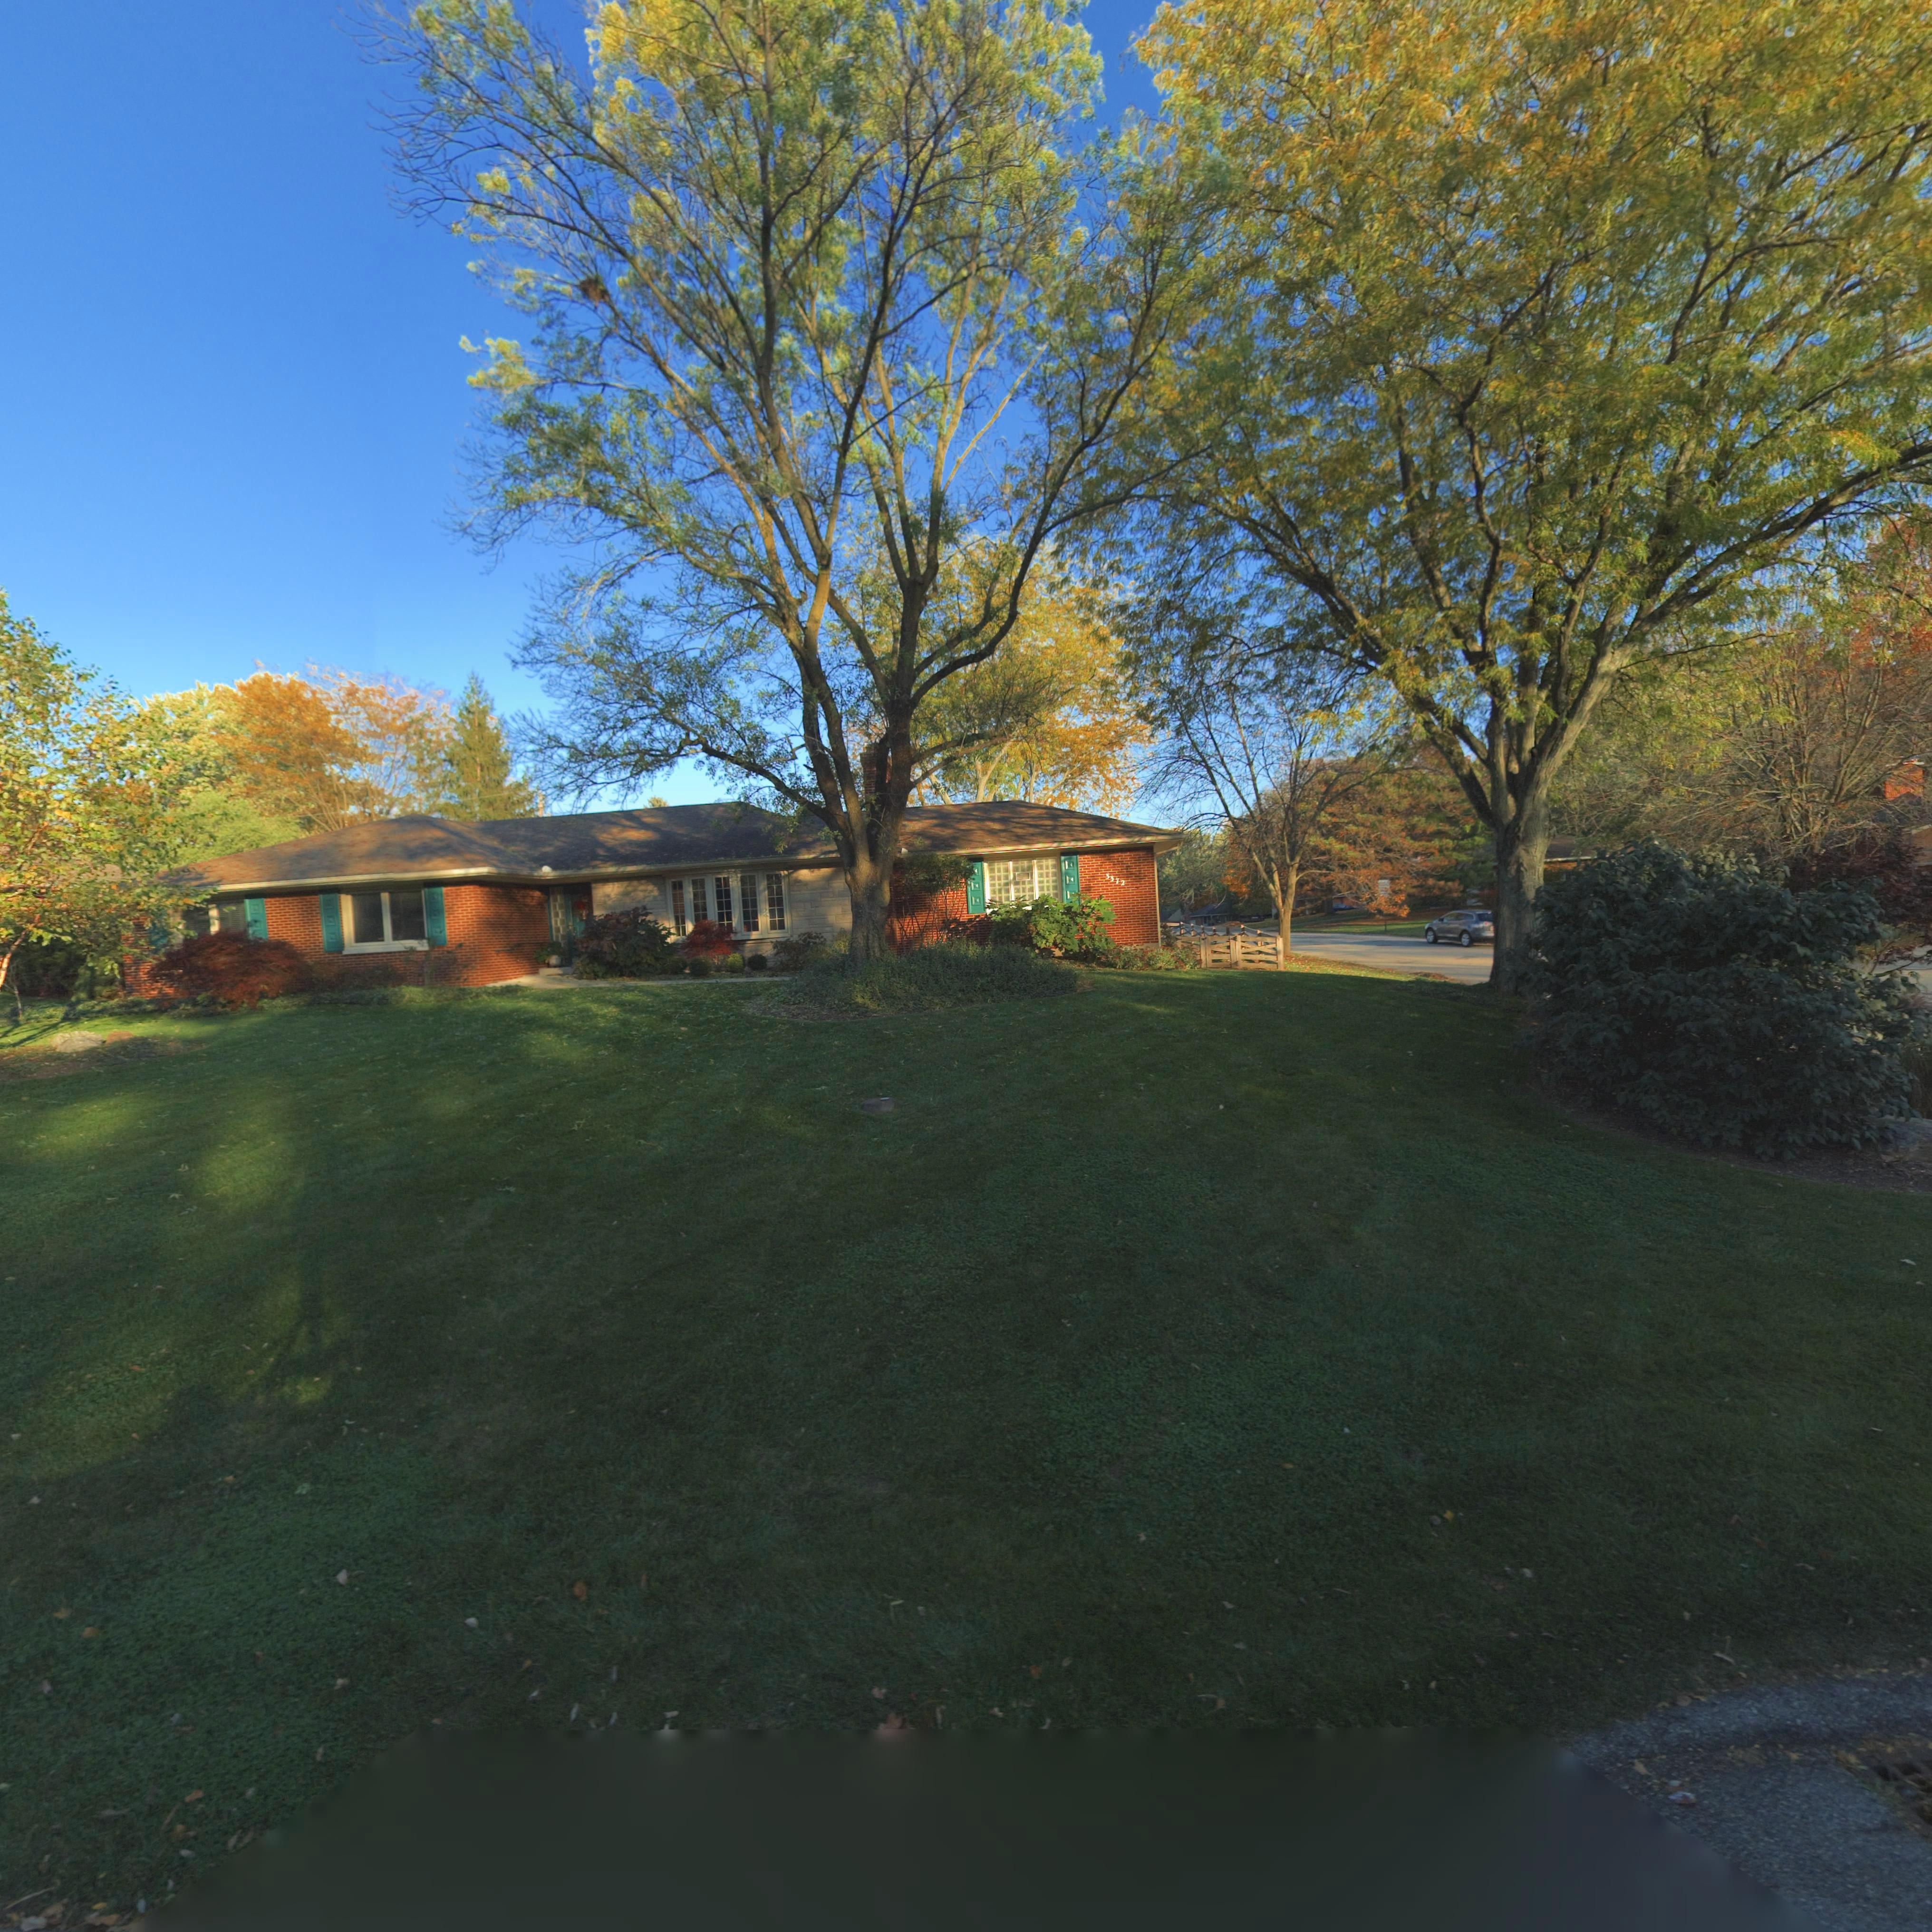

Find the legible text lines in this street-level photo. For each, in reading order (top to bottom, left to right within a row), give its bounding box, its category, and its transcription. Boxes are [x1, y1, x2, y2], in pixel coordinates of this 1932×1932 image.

[1105, 872, 1125, 887] StreetNumber: 3372